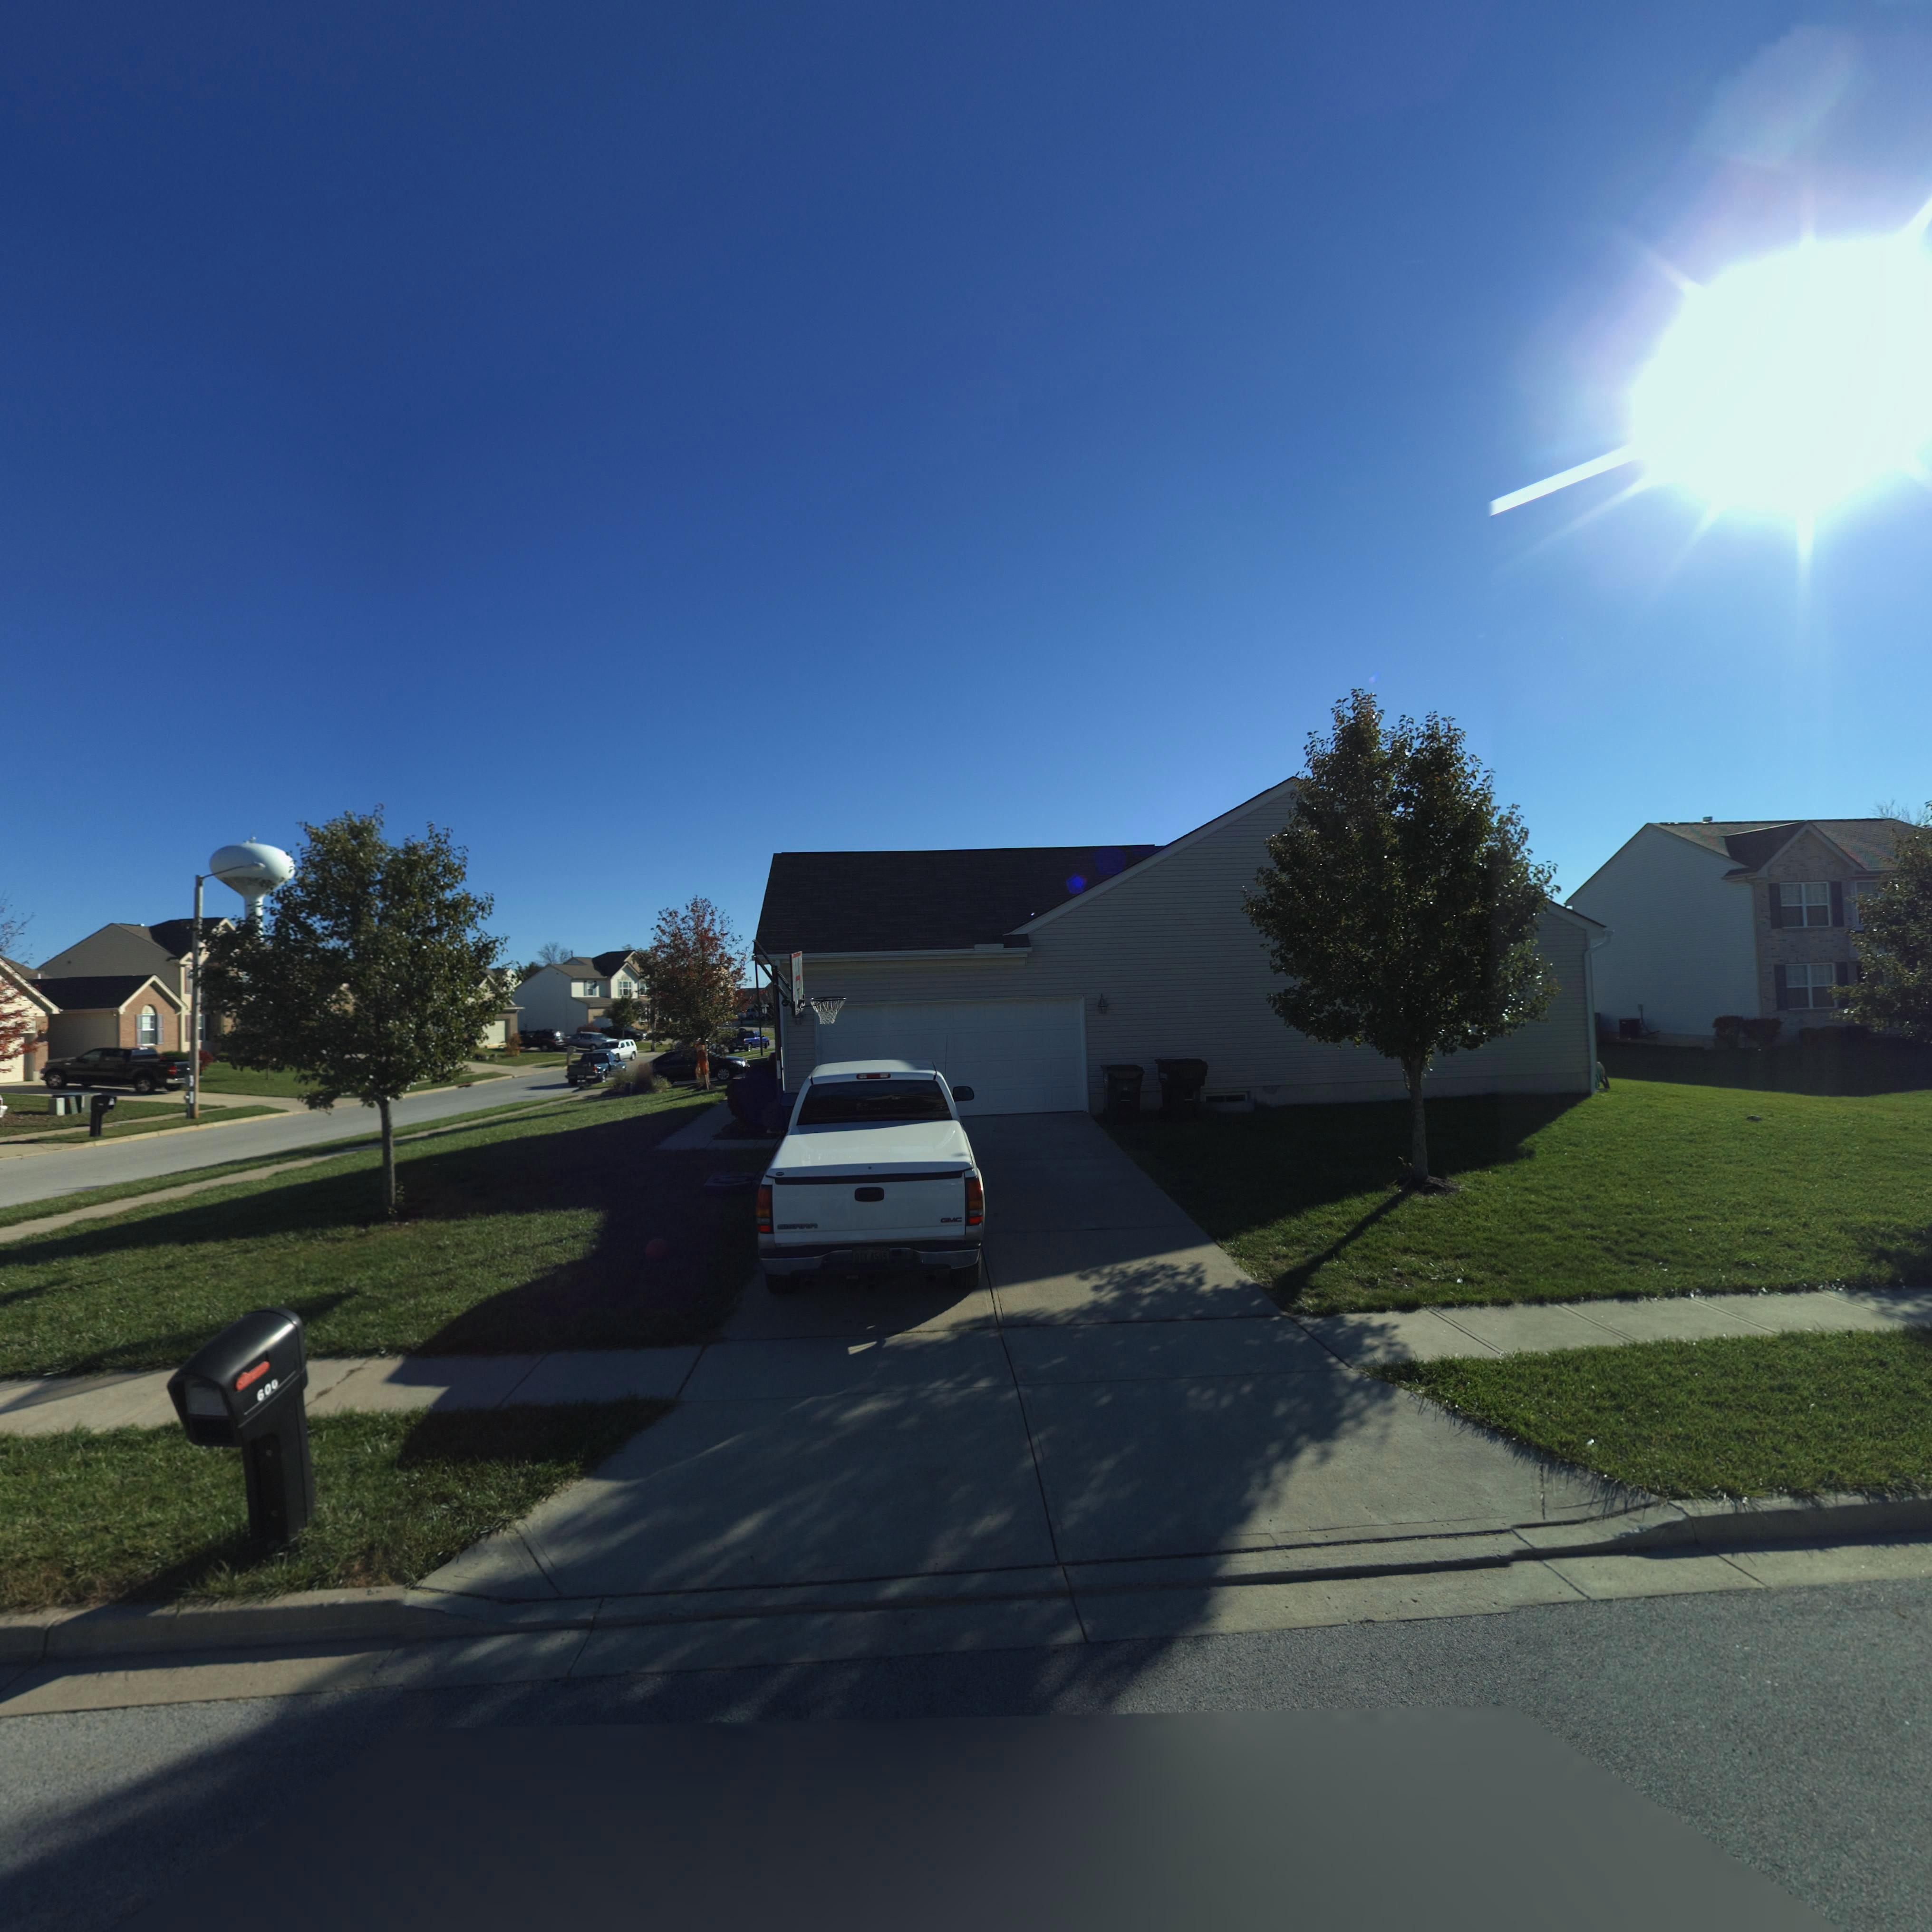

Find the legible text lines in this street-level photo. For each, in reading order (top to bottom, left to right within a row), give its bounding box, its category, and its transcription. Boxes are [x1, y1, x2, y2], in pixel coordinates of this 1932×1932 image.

[255, 1377, 279, 1403] StreetNumber: 600